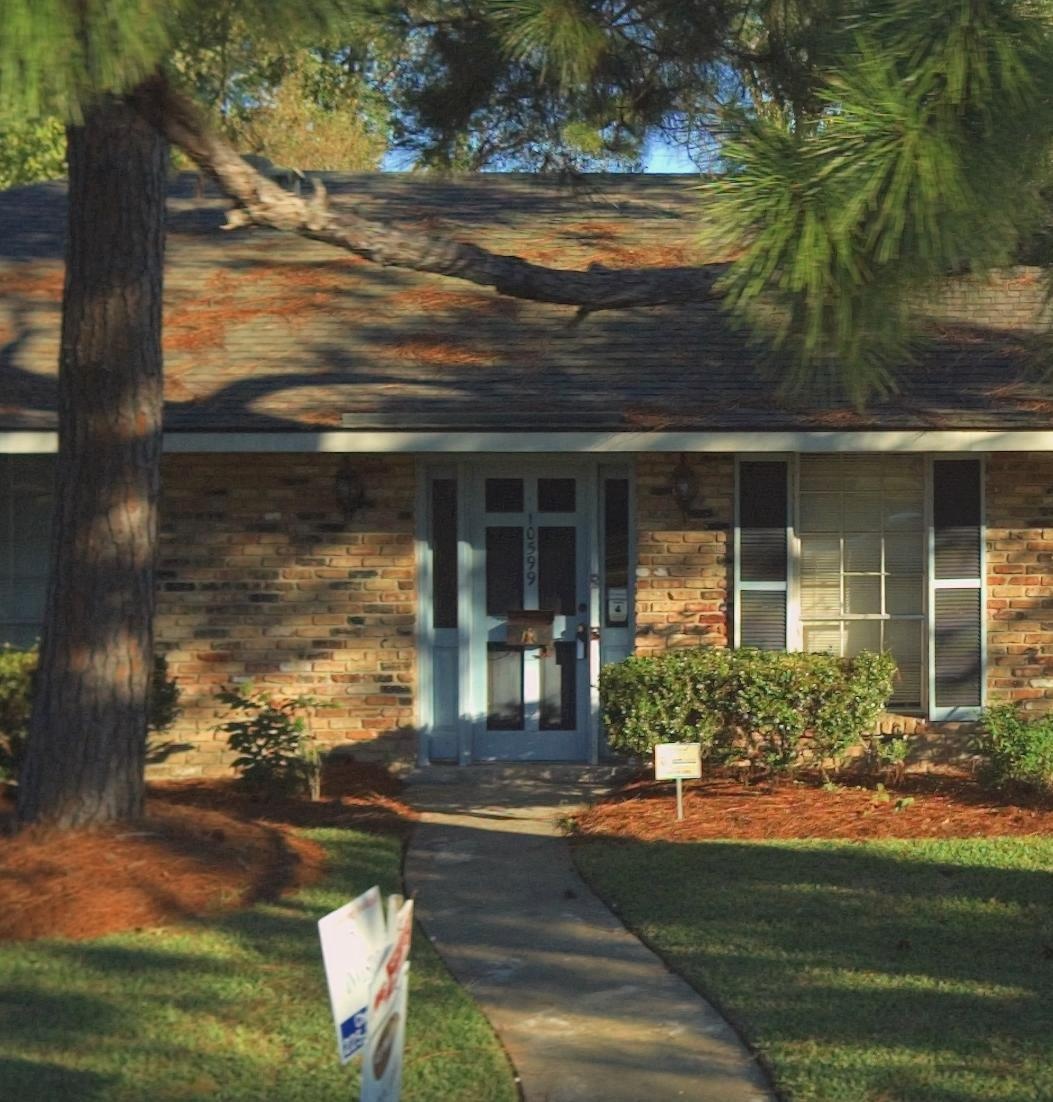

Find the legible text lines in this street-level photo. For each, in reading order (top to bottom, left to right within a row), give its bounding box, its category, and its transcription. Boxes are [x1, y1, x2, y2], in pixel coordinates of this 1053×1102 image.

[524, 510, 538, 588] StreetNumber: 10599